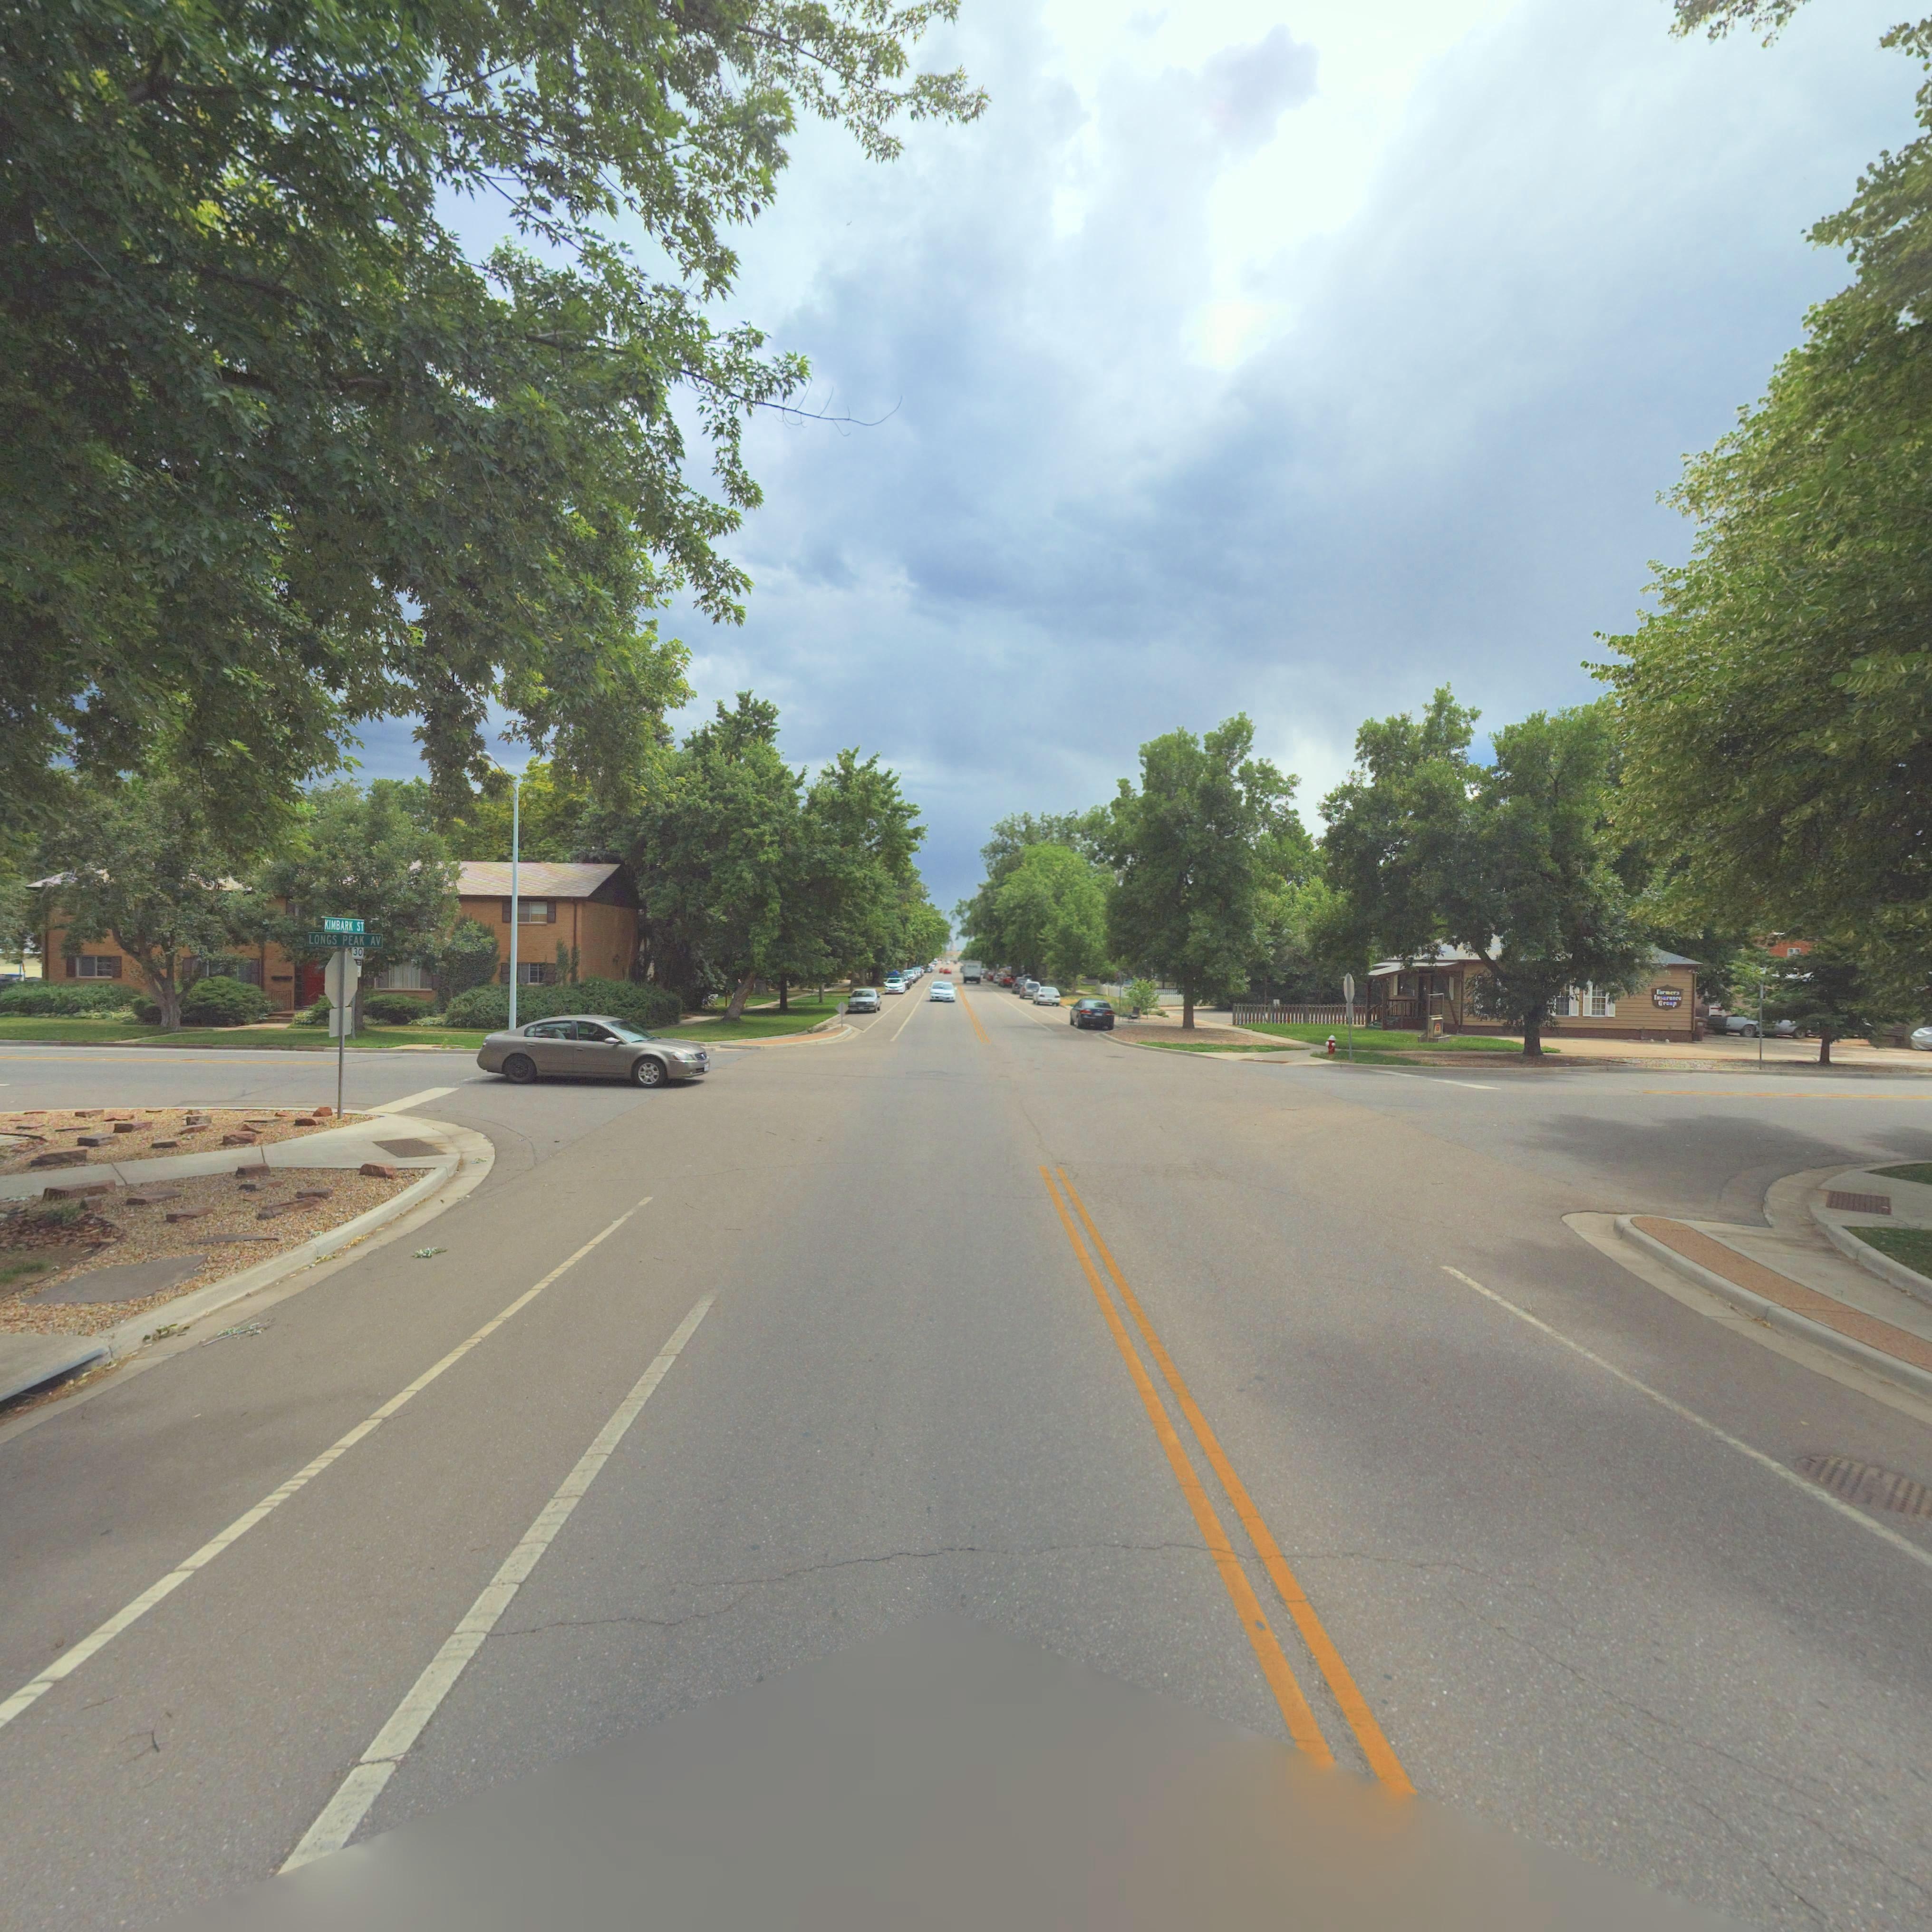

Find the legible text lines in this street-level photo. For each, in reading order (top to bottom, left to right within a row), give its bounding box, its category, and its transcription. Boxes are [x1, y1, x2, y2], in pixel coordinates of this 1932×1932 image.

[324, 918, 364, 932] StreetName: KIMBARK ST
[309, 934, 381, 946] StreetName: LONGS PEAK AV
[1656, 988, 1680, 995] BusinessName: Farmers
[1653, 994, 1682, 1000] BusinessName: Insurance
[1657, 999, 1677, 1007] BusinessName: Group